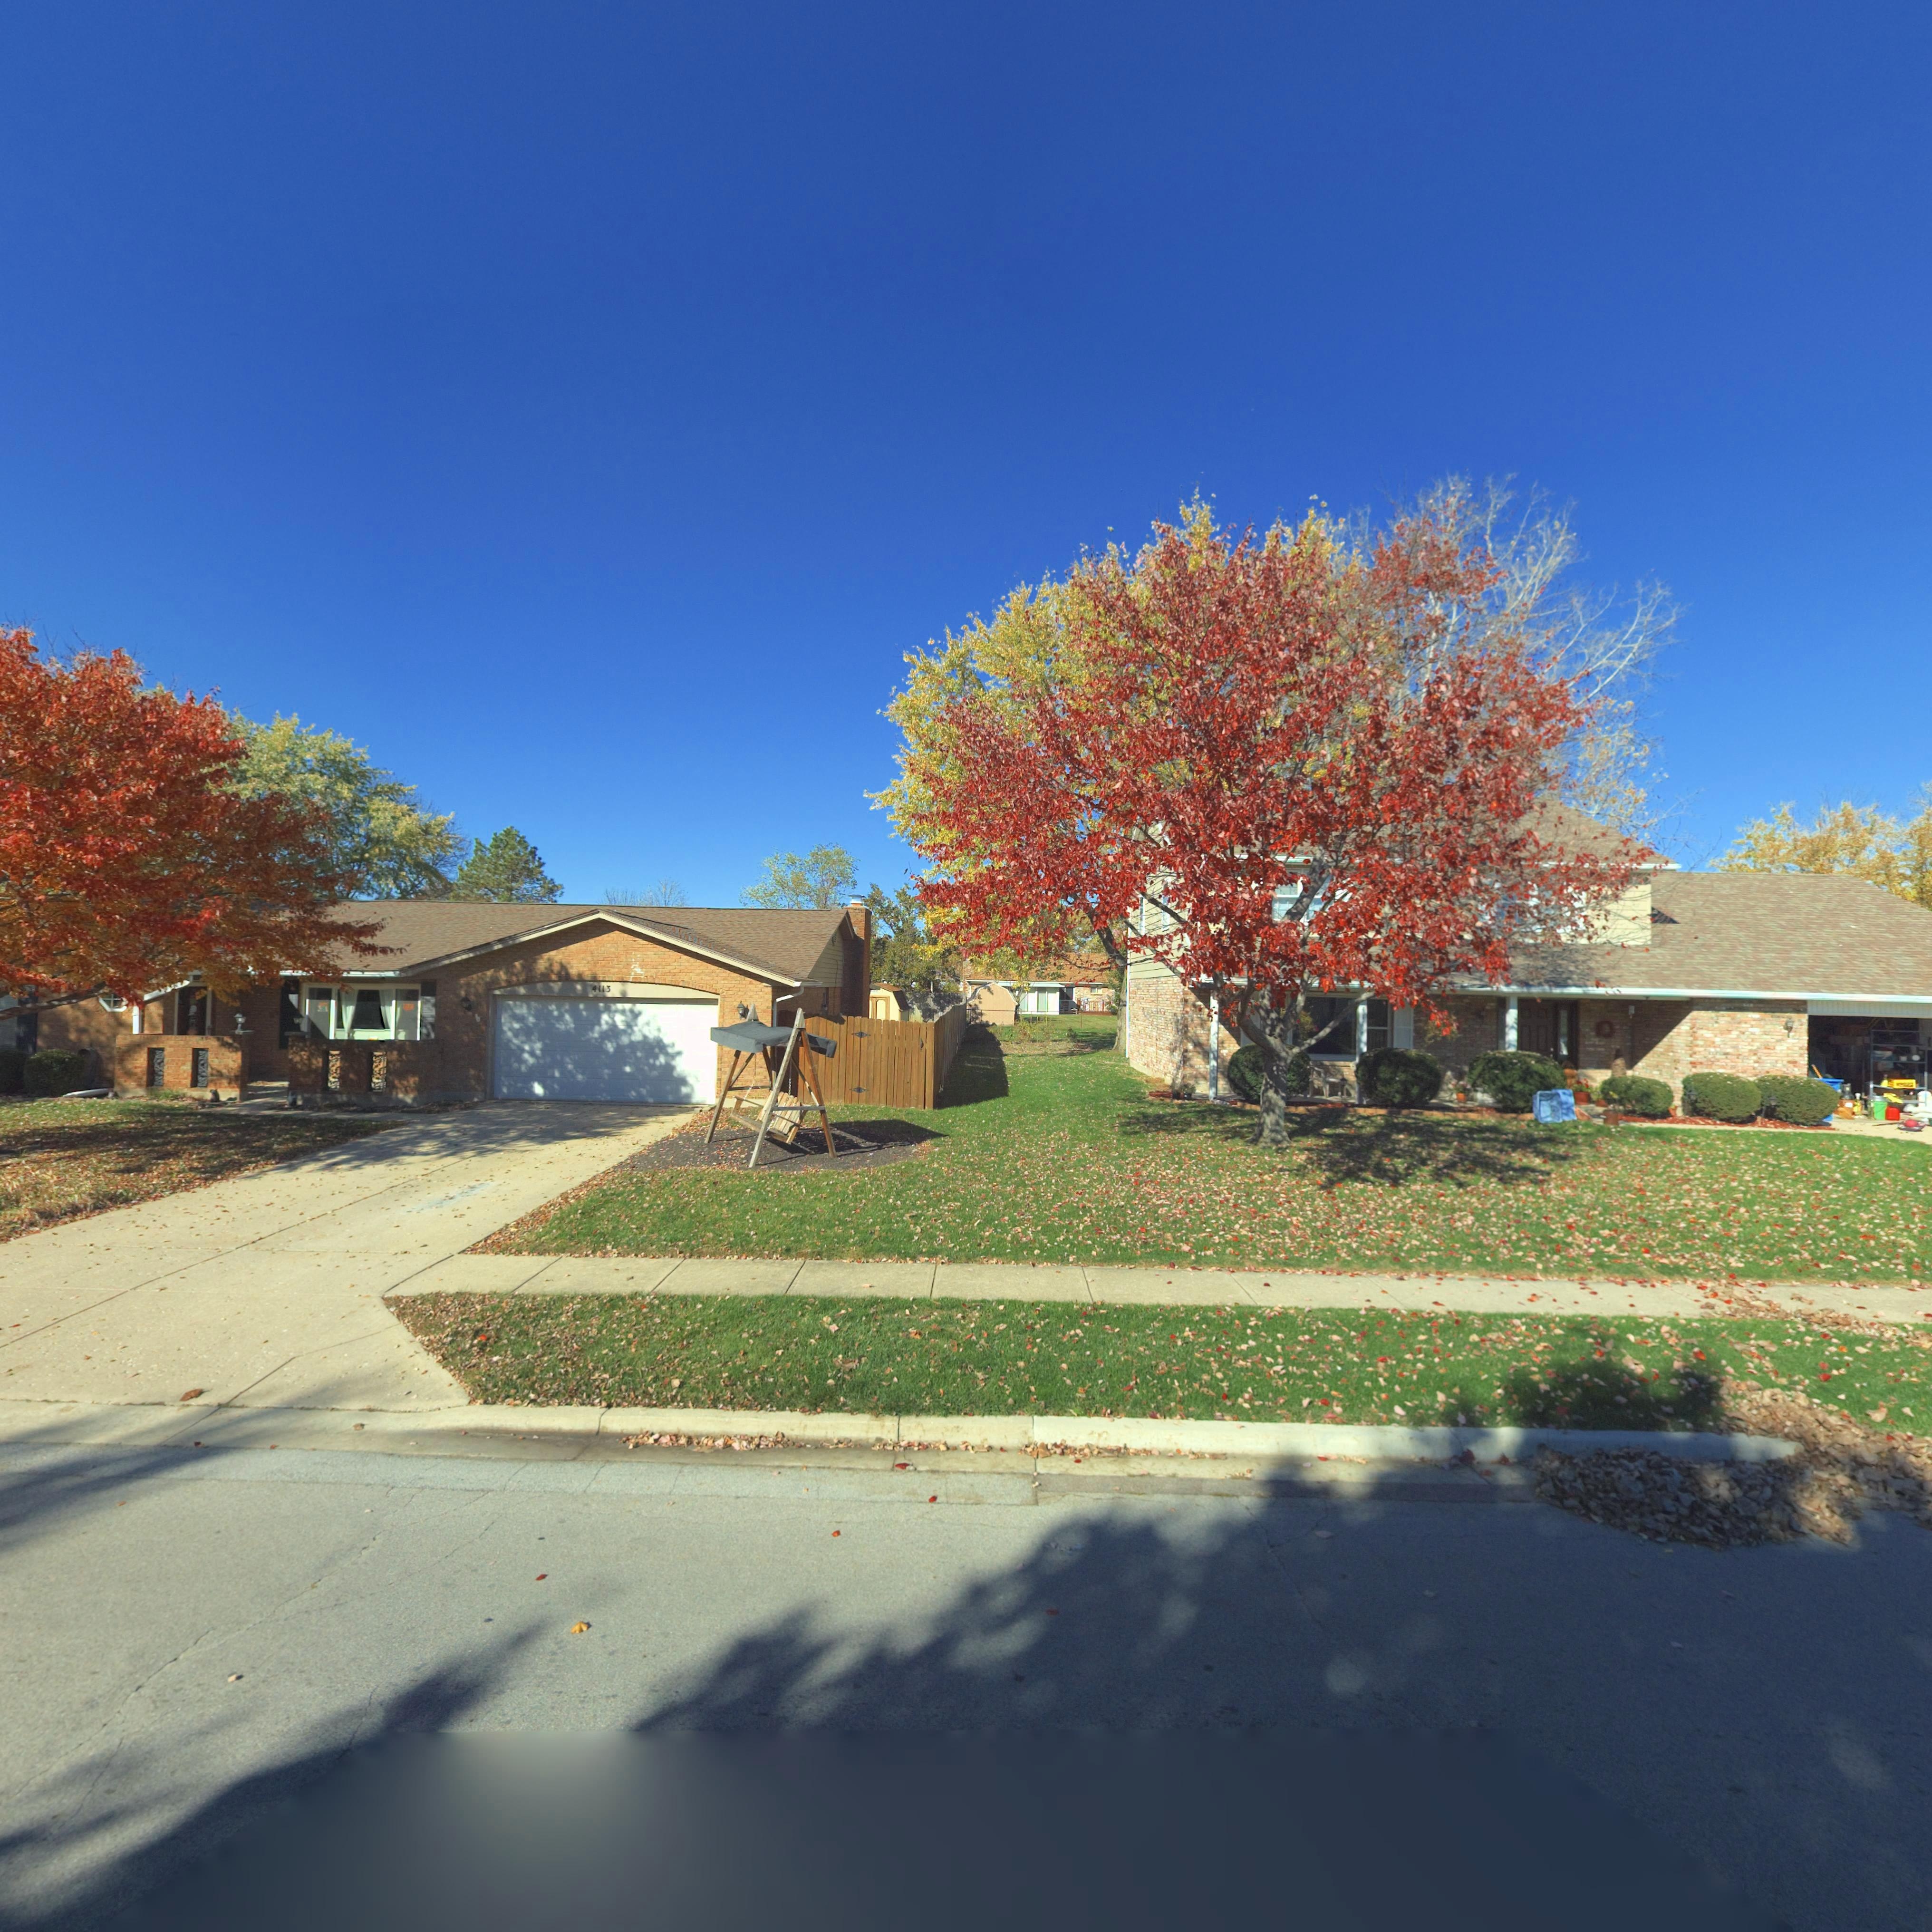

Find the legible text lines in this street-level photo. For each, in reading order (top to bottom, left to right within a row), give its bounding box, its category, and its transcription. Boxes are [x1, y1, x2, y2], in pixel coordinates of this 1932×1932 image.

[591, 985, 611, 993] StreetNumber: 4113